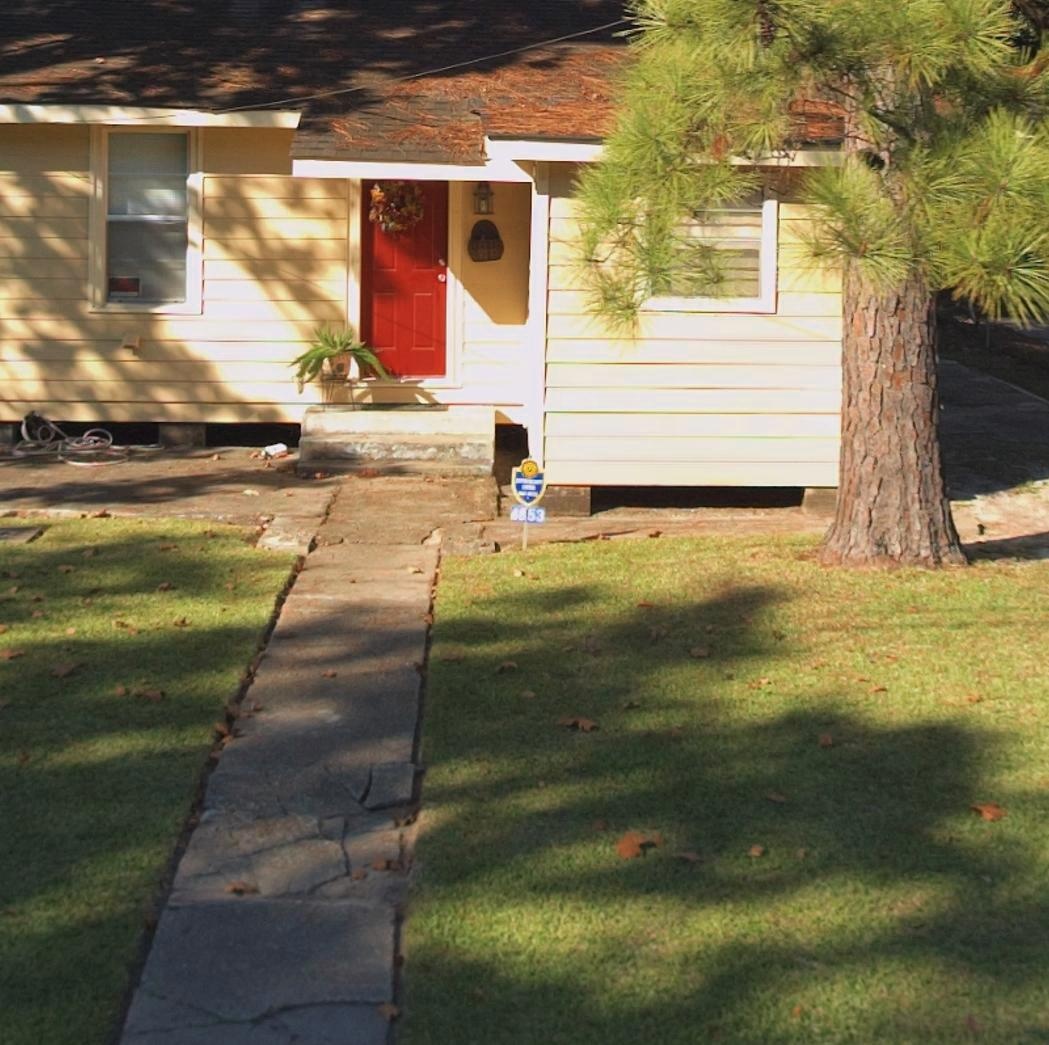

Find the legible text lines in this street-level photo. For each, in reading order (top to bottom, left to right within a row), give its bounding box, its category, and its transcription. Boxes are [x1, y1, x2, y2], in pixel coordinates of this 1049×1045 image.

[508, 506, 547, 524] StreetNumber: 4853